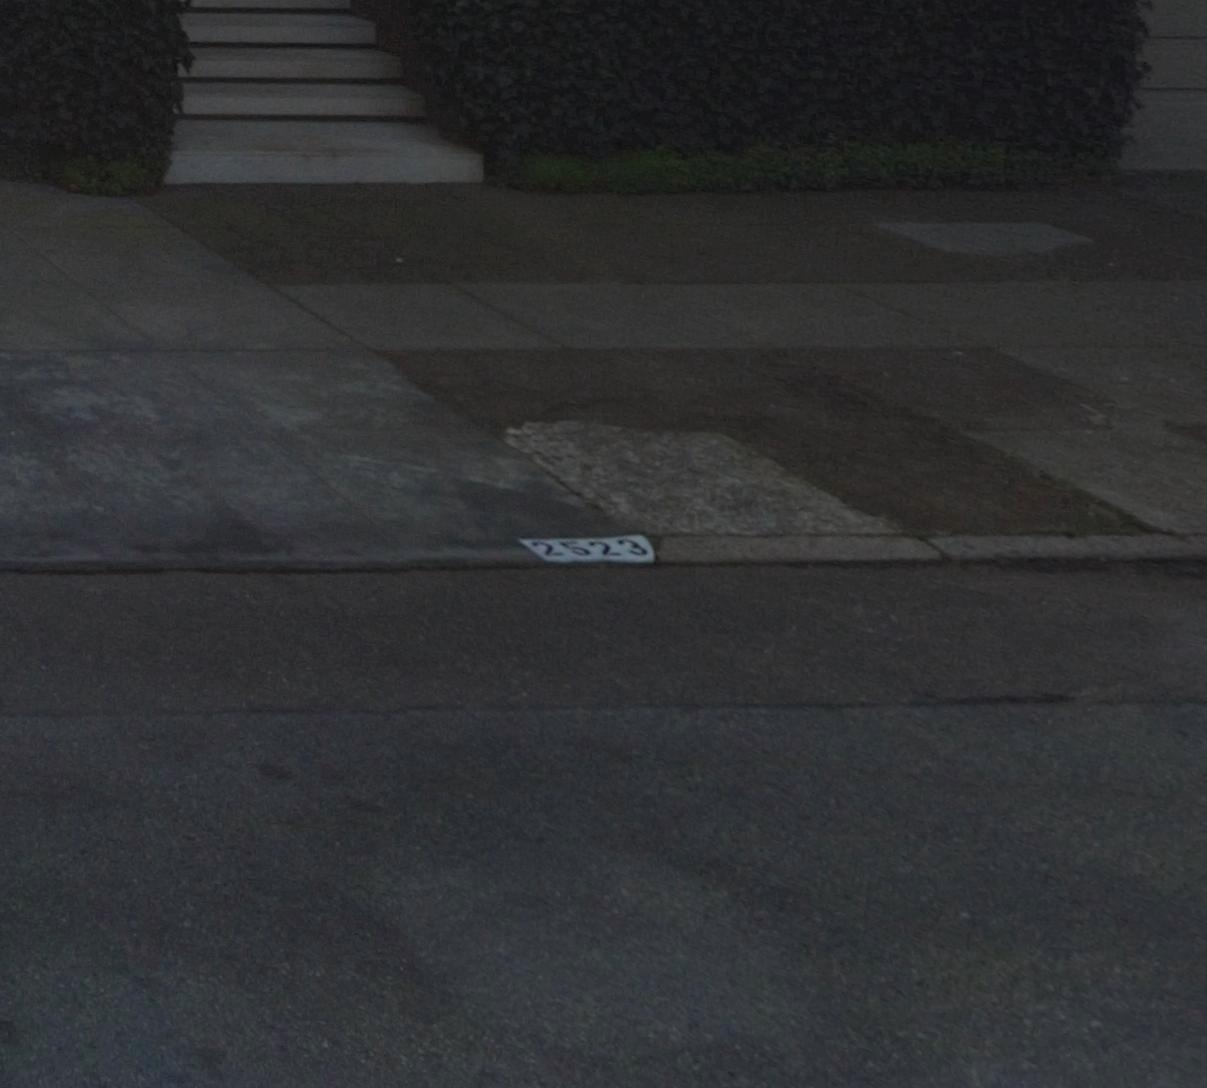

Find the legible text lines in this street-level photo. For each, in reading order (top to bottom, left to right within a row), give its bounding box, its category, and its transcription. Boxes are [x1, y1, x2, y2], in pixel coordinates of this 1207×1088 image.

[518, 536, 661, 560] StreetNumber: 2523